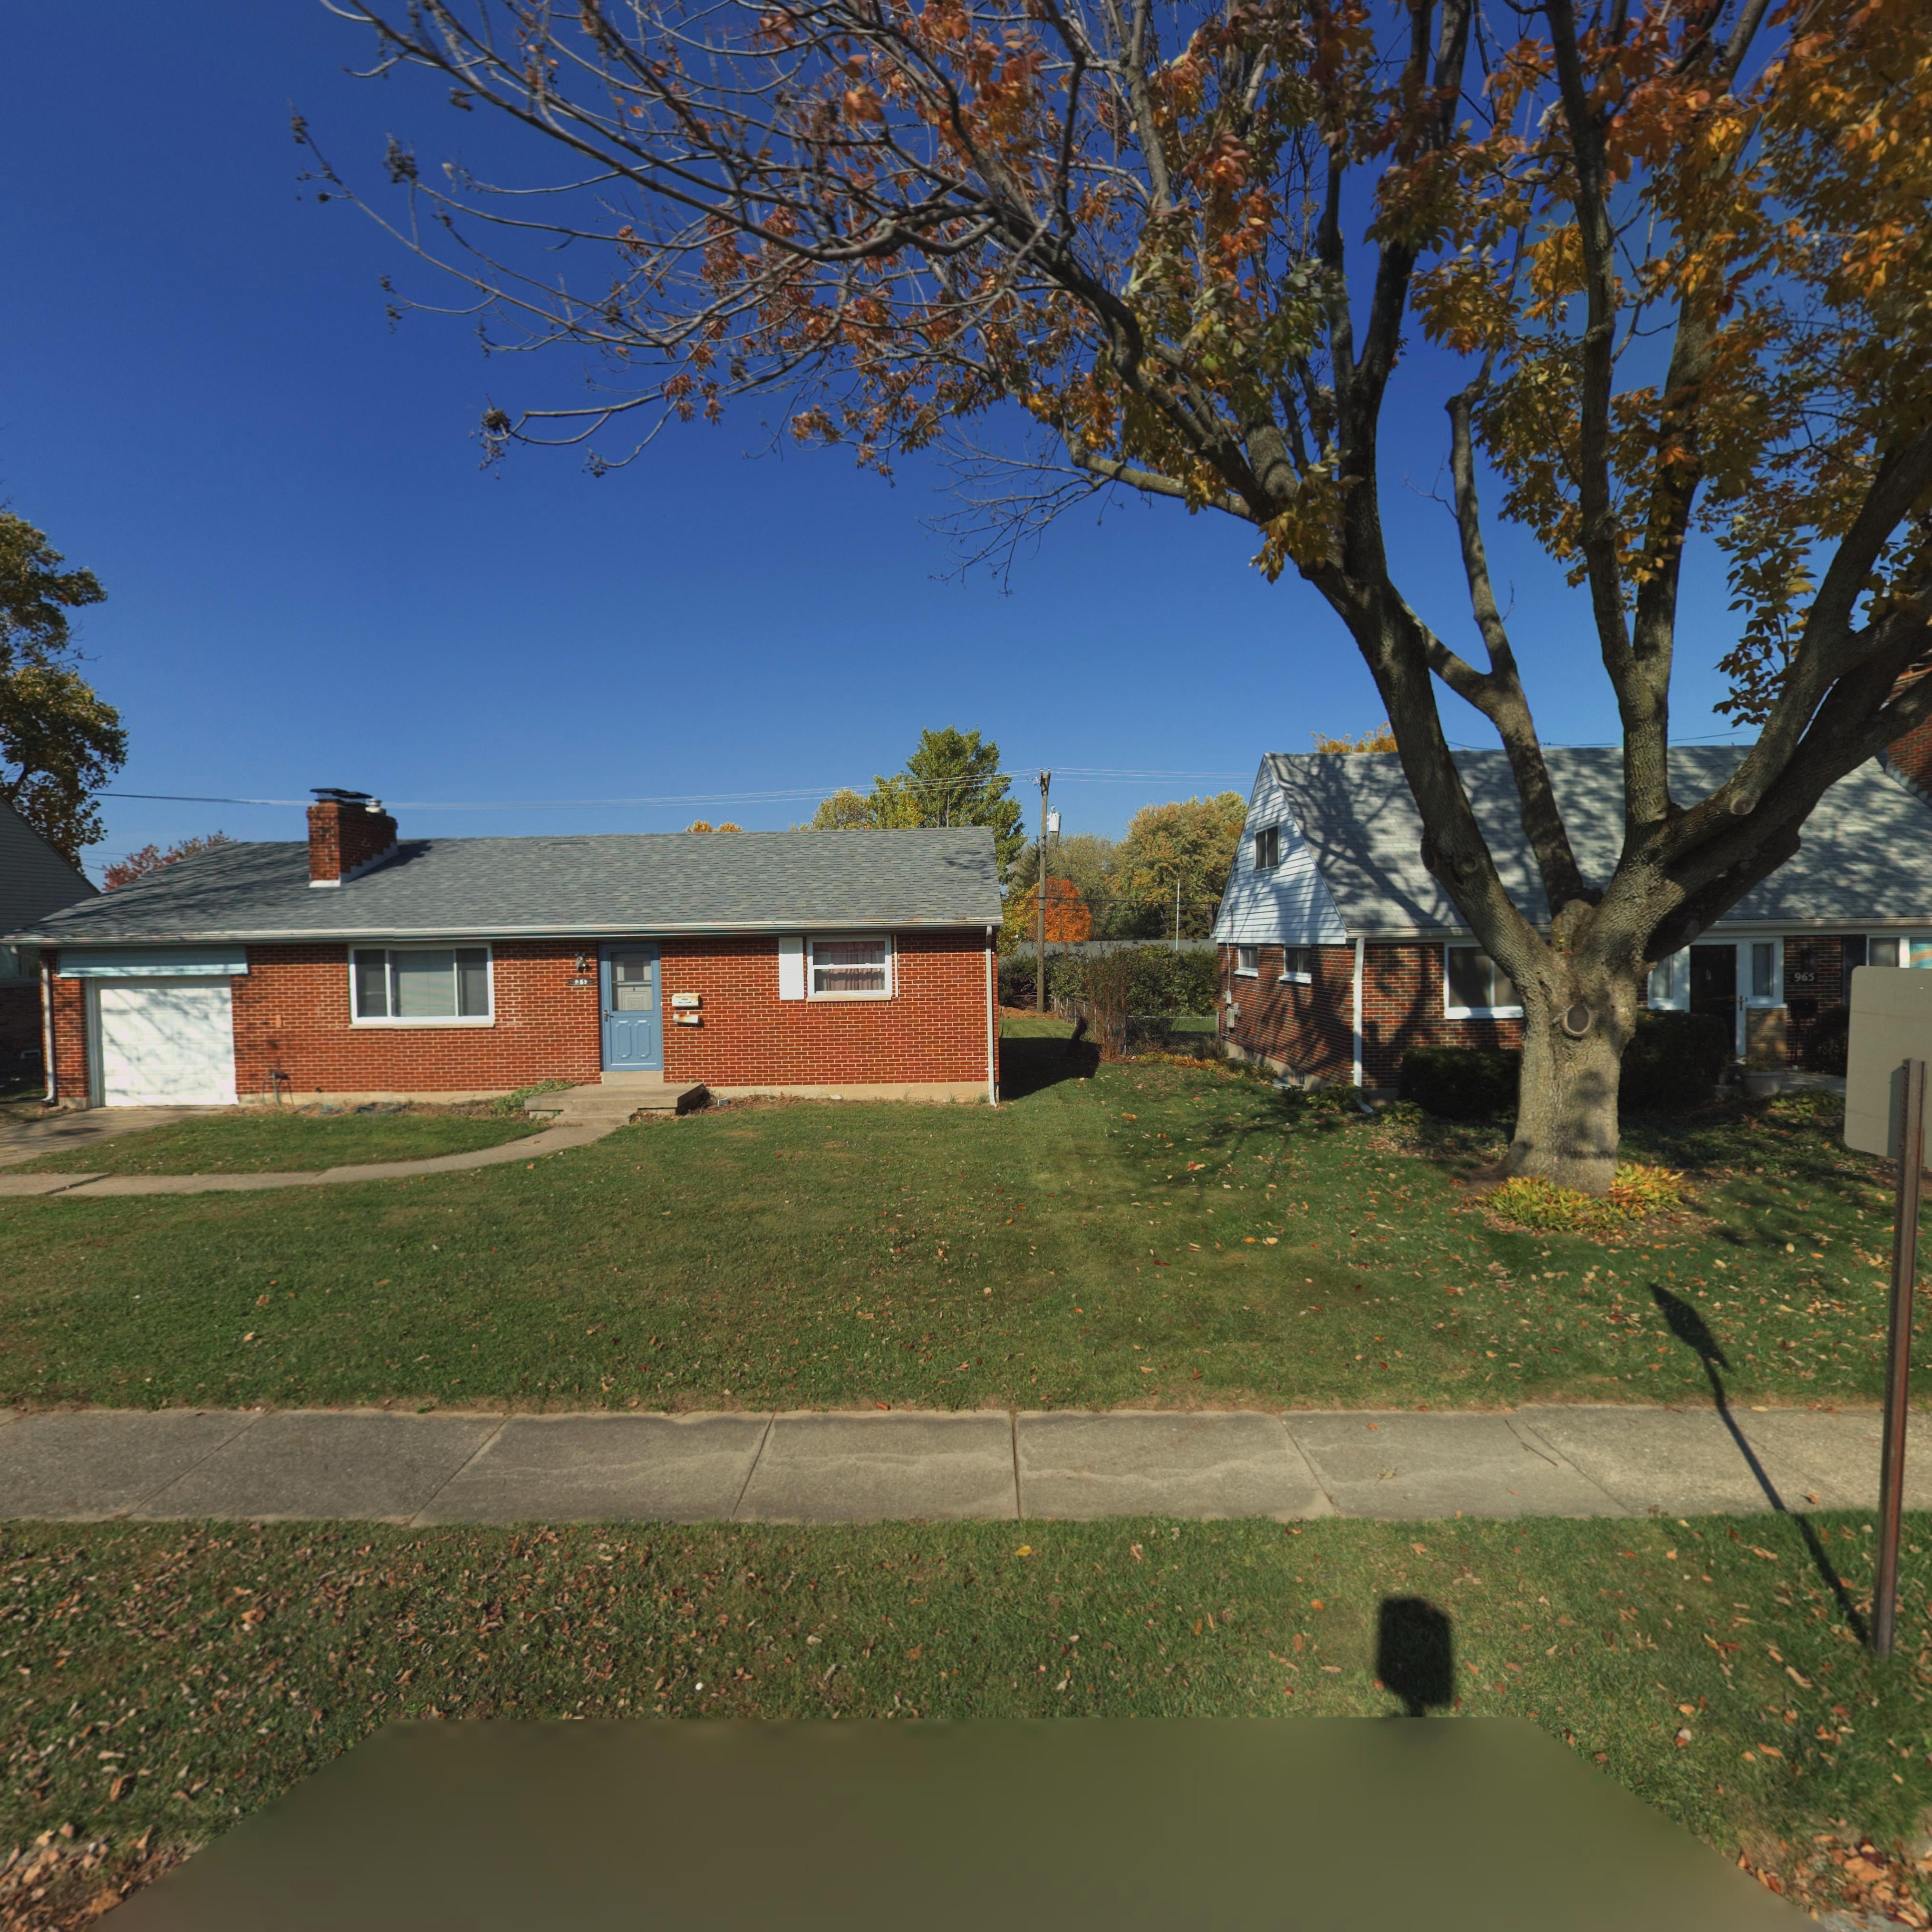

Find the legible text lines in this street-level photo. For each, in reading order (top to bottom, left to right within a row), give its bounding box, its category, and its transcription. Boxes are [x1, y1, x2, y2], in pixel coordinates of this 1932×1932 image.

[574, 978, 588, 985] StreetNumber: *5*
[1794, 972, 1815, 982] StreetNumber: 965